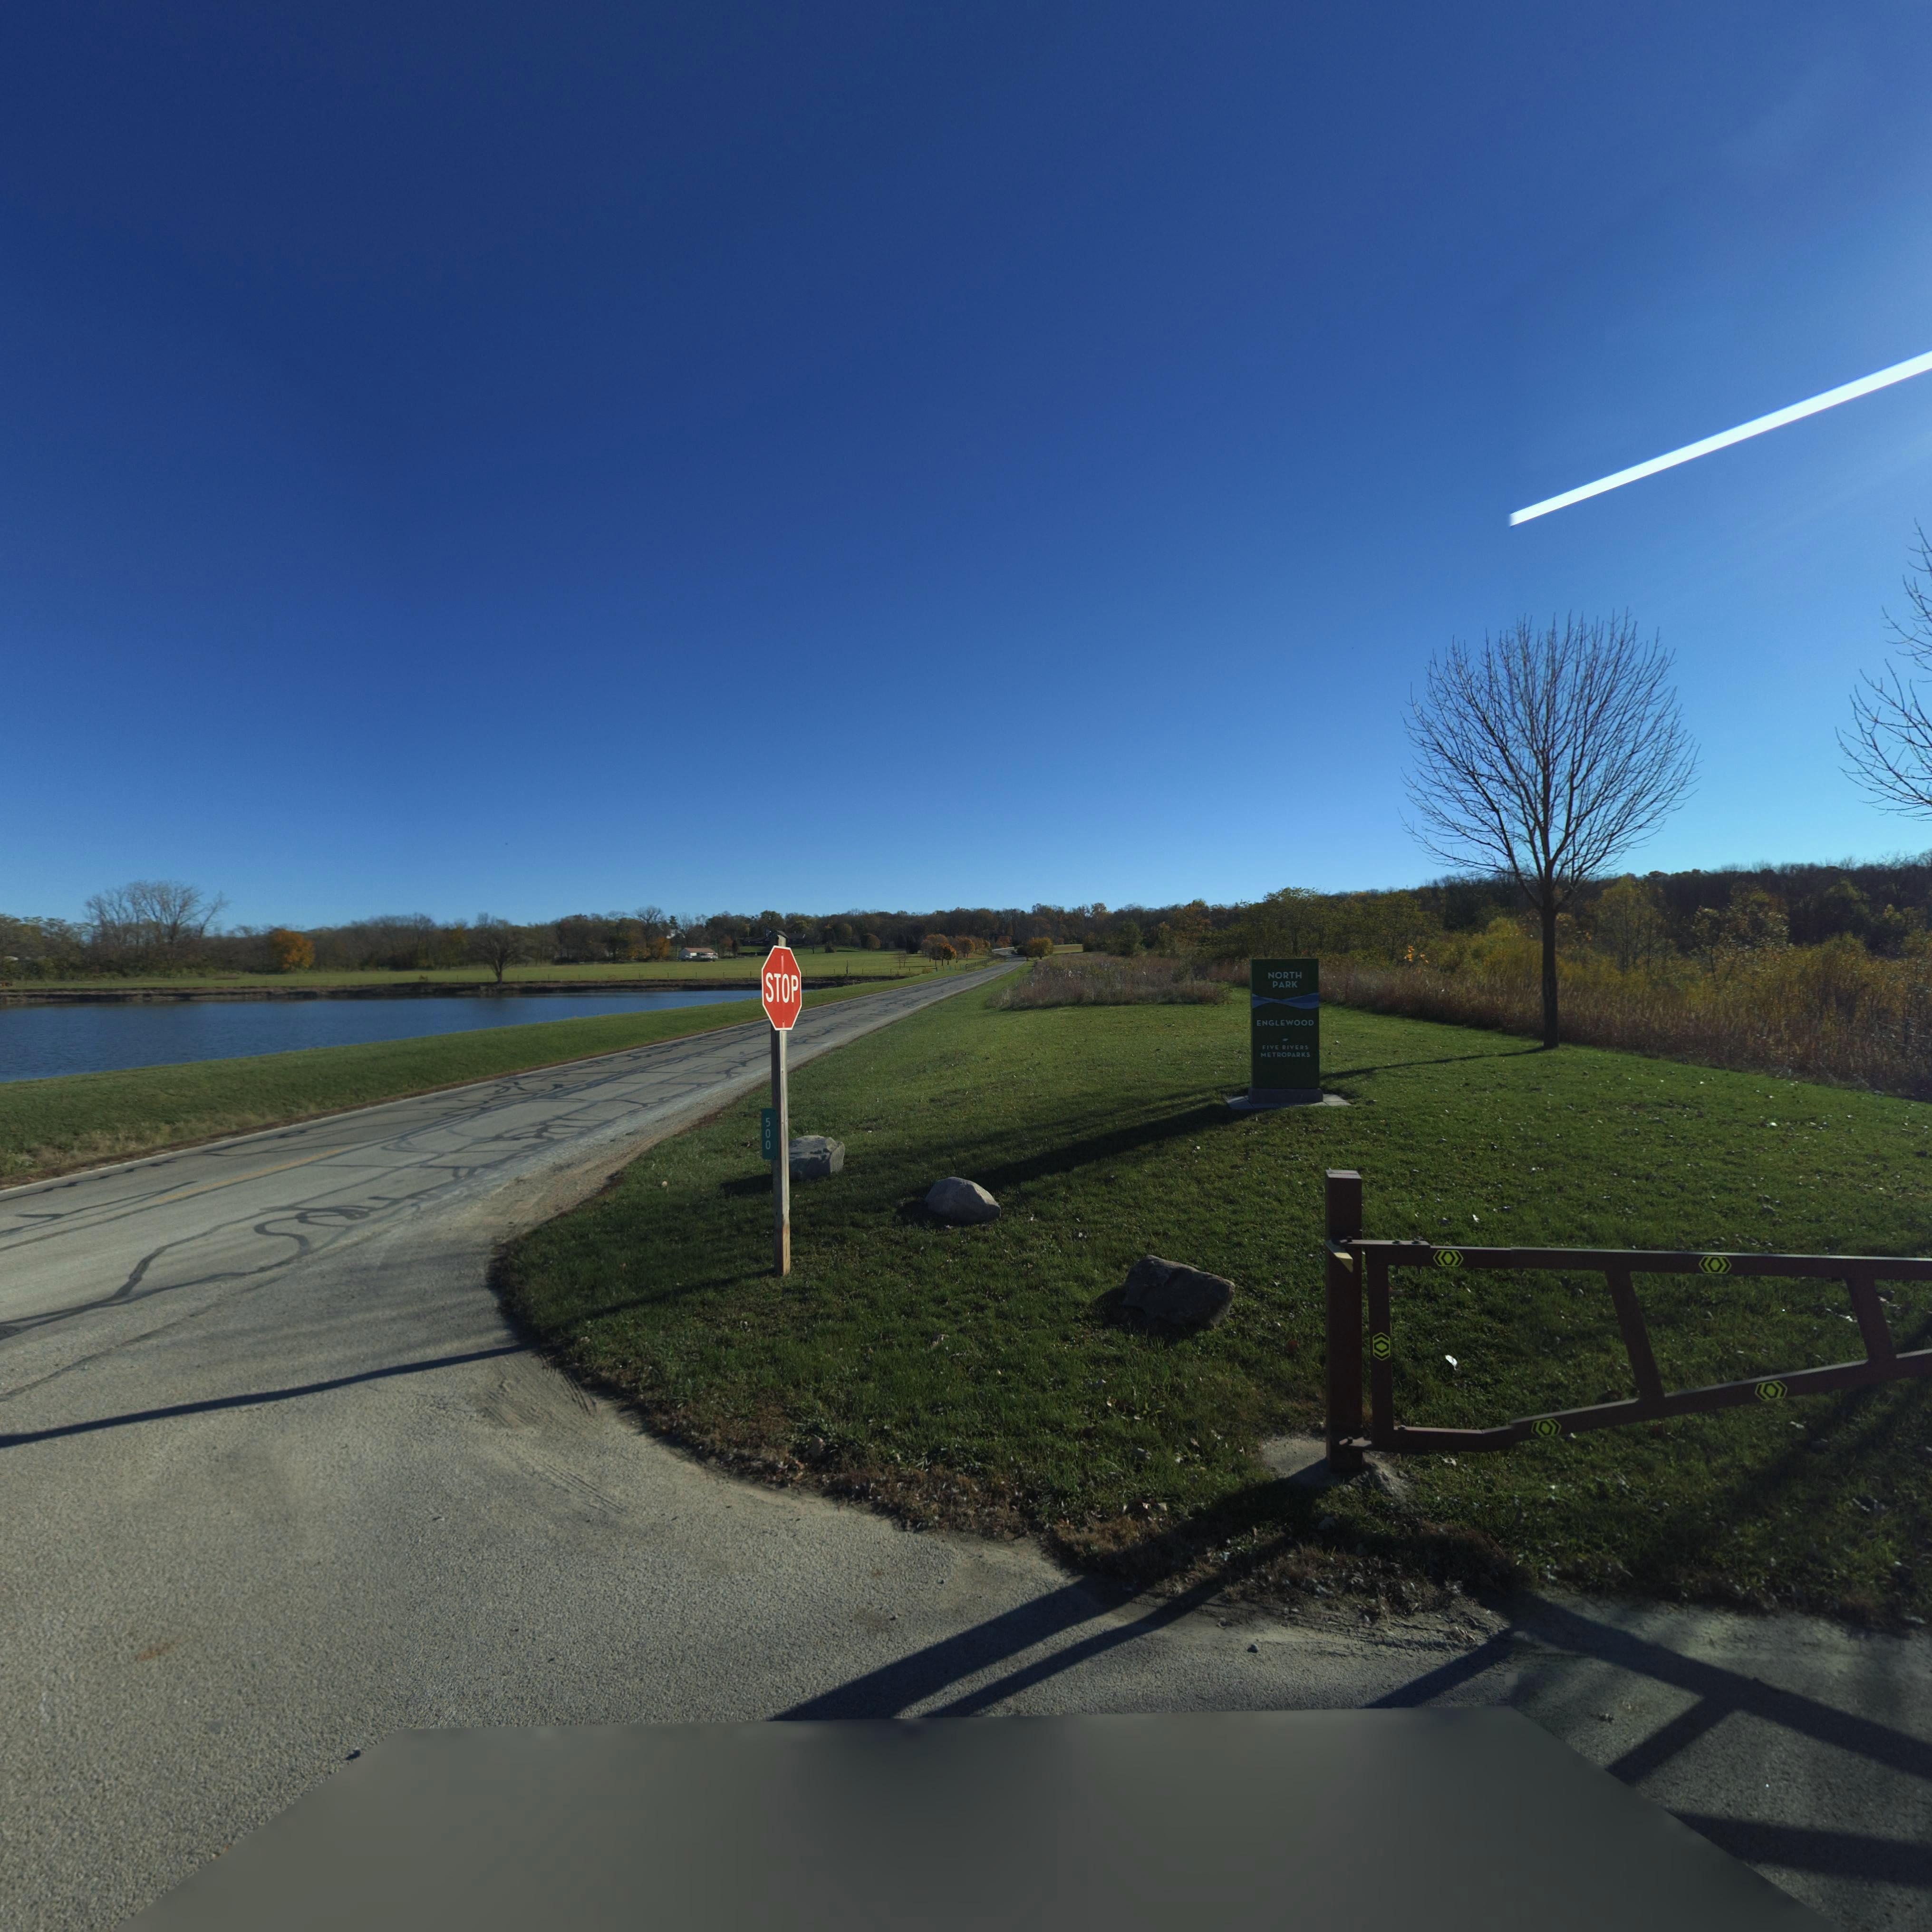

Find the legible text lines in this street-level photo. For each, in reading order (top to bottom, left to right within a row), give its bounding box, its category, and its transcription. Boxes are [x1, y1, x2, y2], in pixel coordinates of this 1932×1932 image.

[1266, 970, 1302, 979] None: NORTH
[763, 970, 799, 1004] None: STOP
[1271, 980, 1299, 988] None: PARK
[1255, 1017, 1315, 1027] None: ENGLEWOOD
[1260, 1043, 1310, 1050] None: FIVE RIVERS
[1259, 1051, 1311, 1058] None: METROPARKS
[765, 1117, 772, 1150] StreetNumber: 500